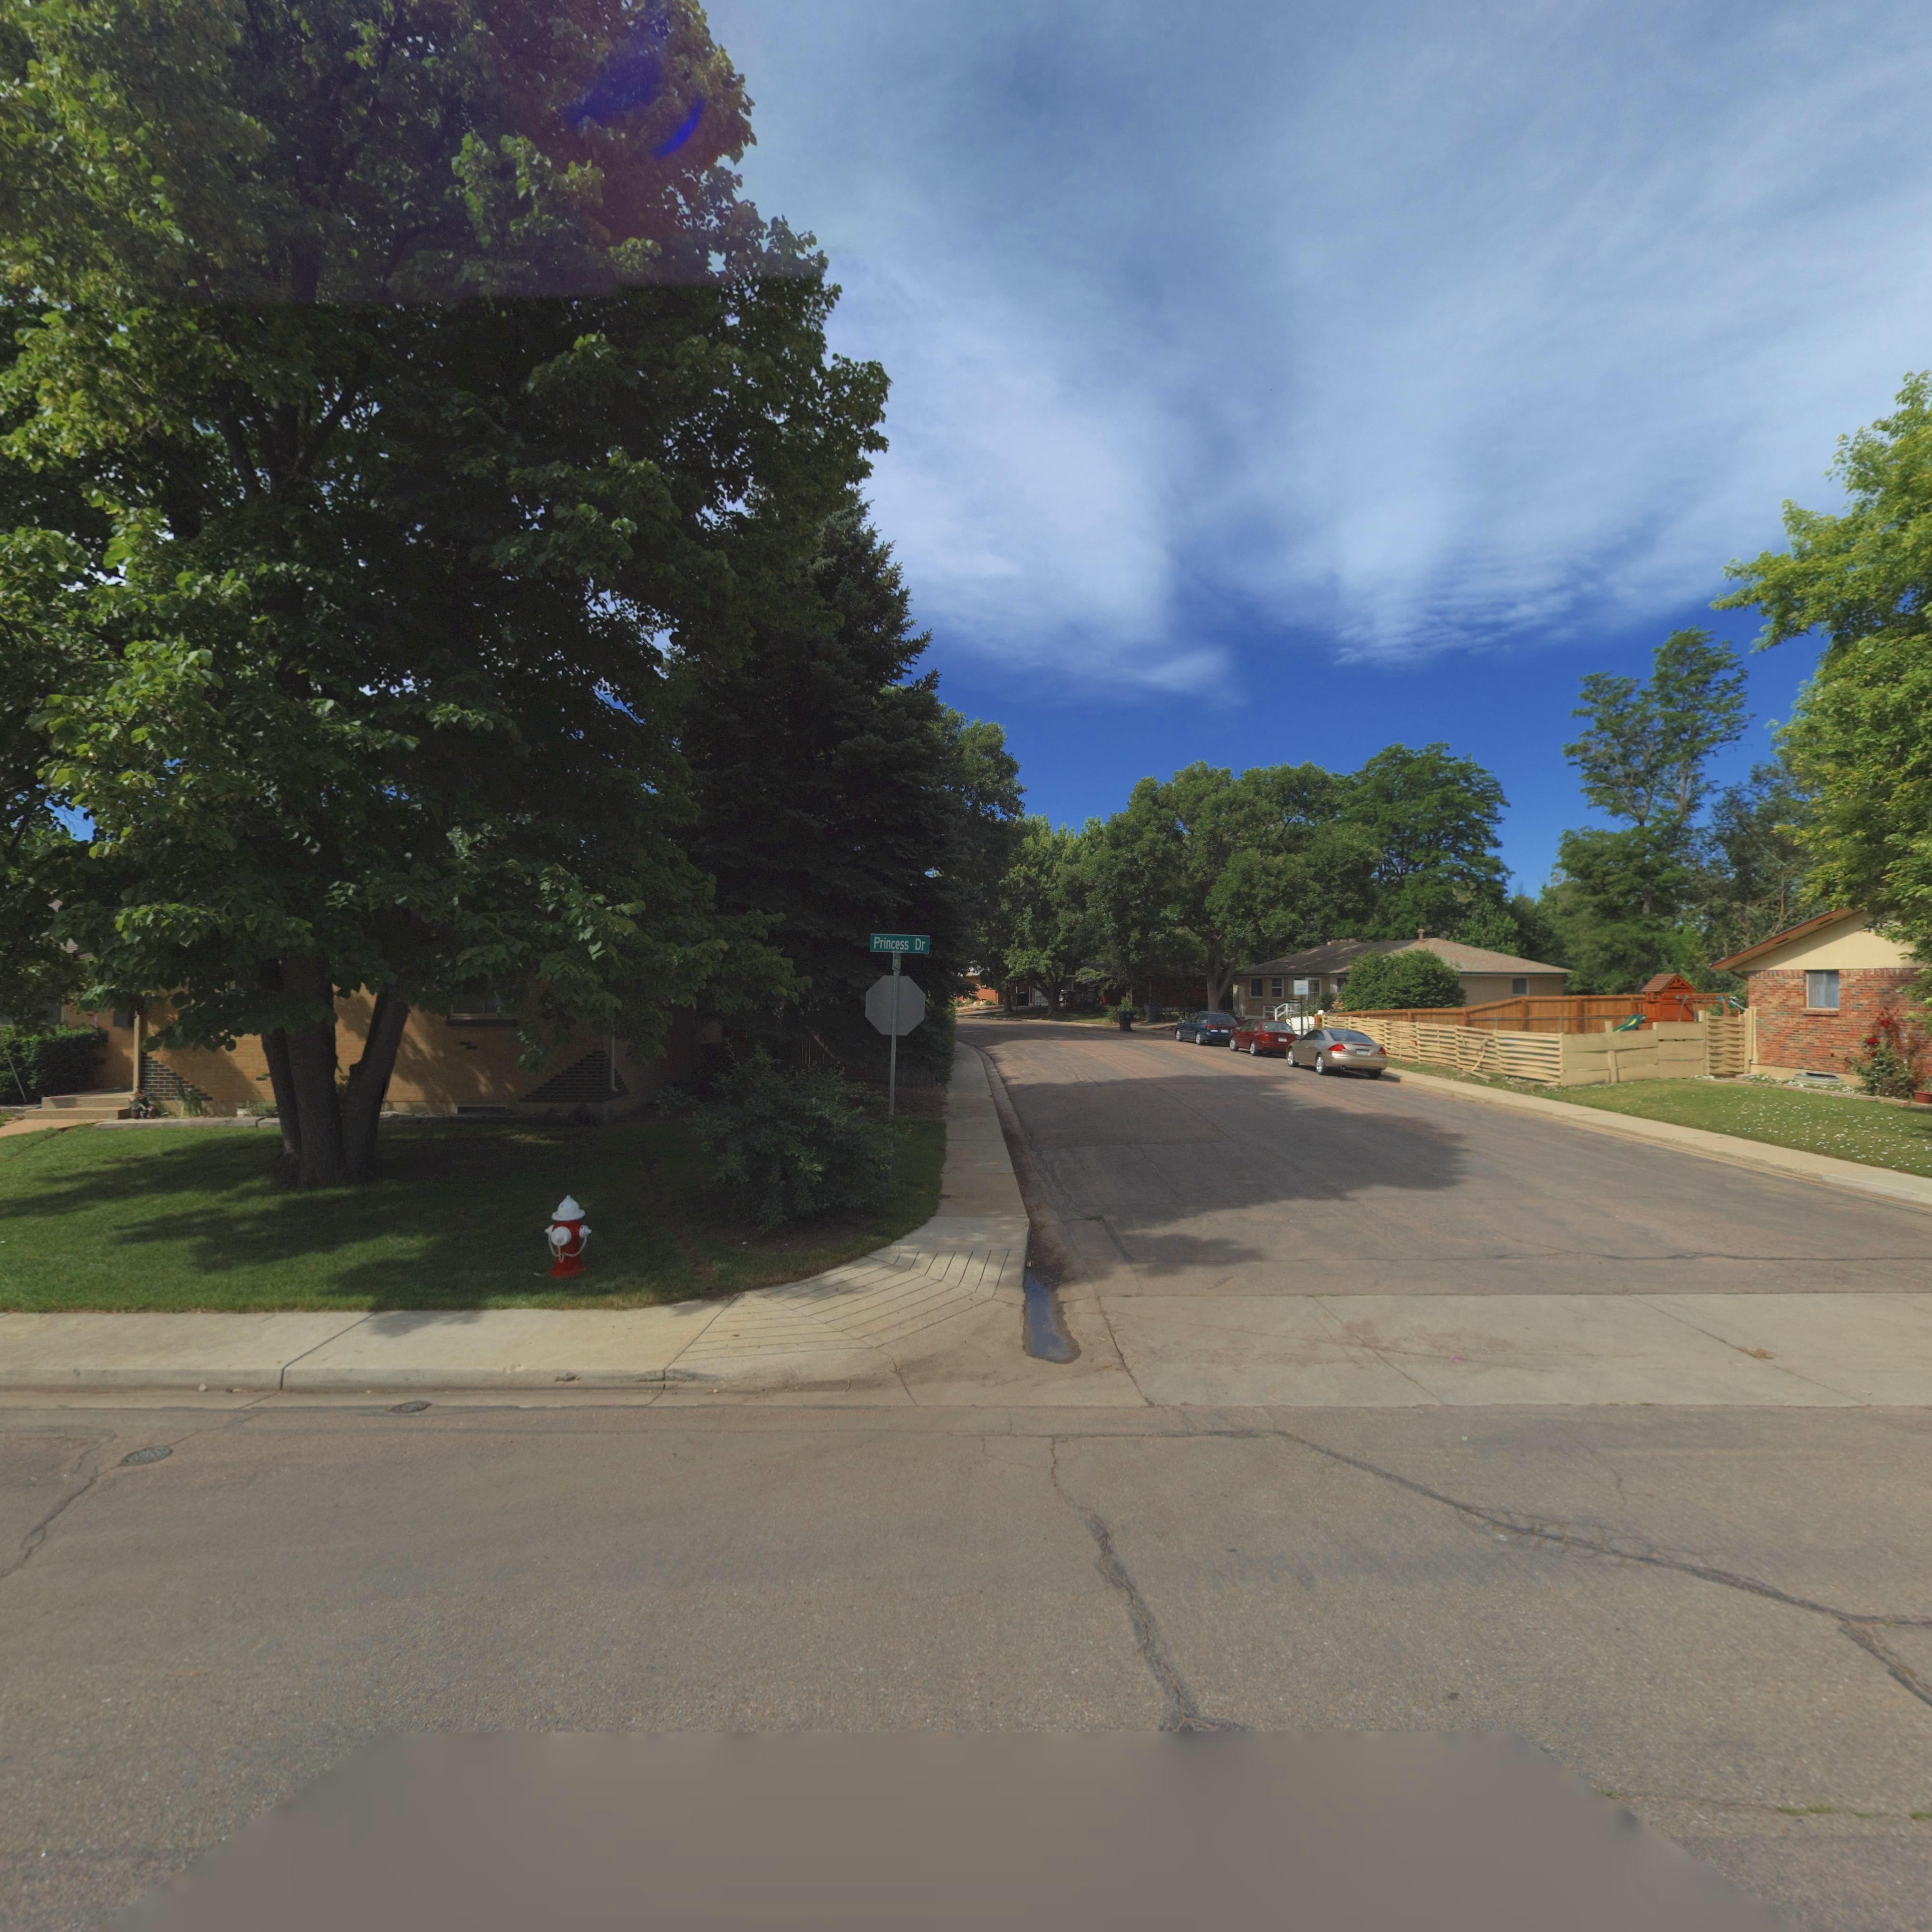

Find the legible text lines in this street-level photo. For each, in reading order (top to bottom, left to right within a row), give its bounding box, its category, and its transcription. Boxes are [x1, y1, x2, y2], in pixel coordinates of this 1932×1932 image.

[873, 936, 926, 950] StreetName: Princess Dr